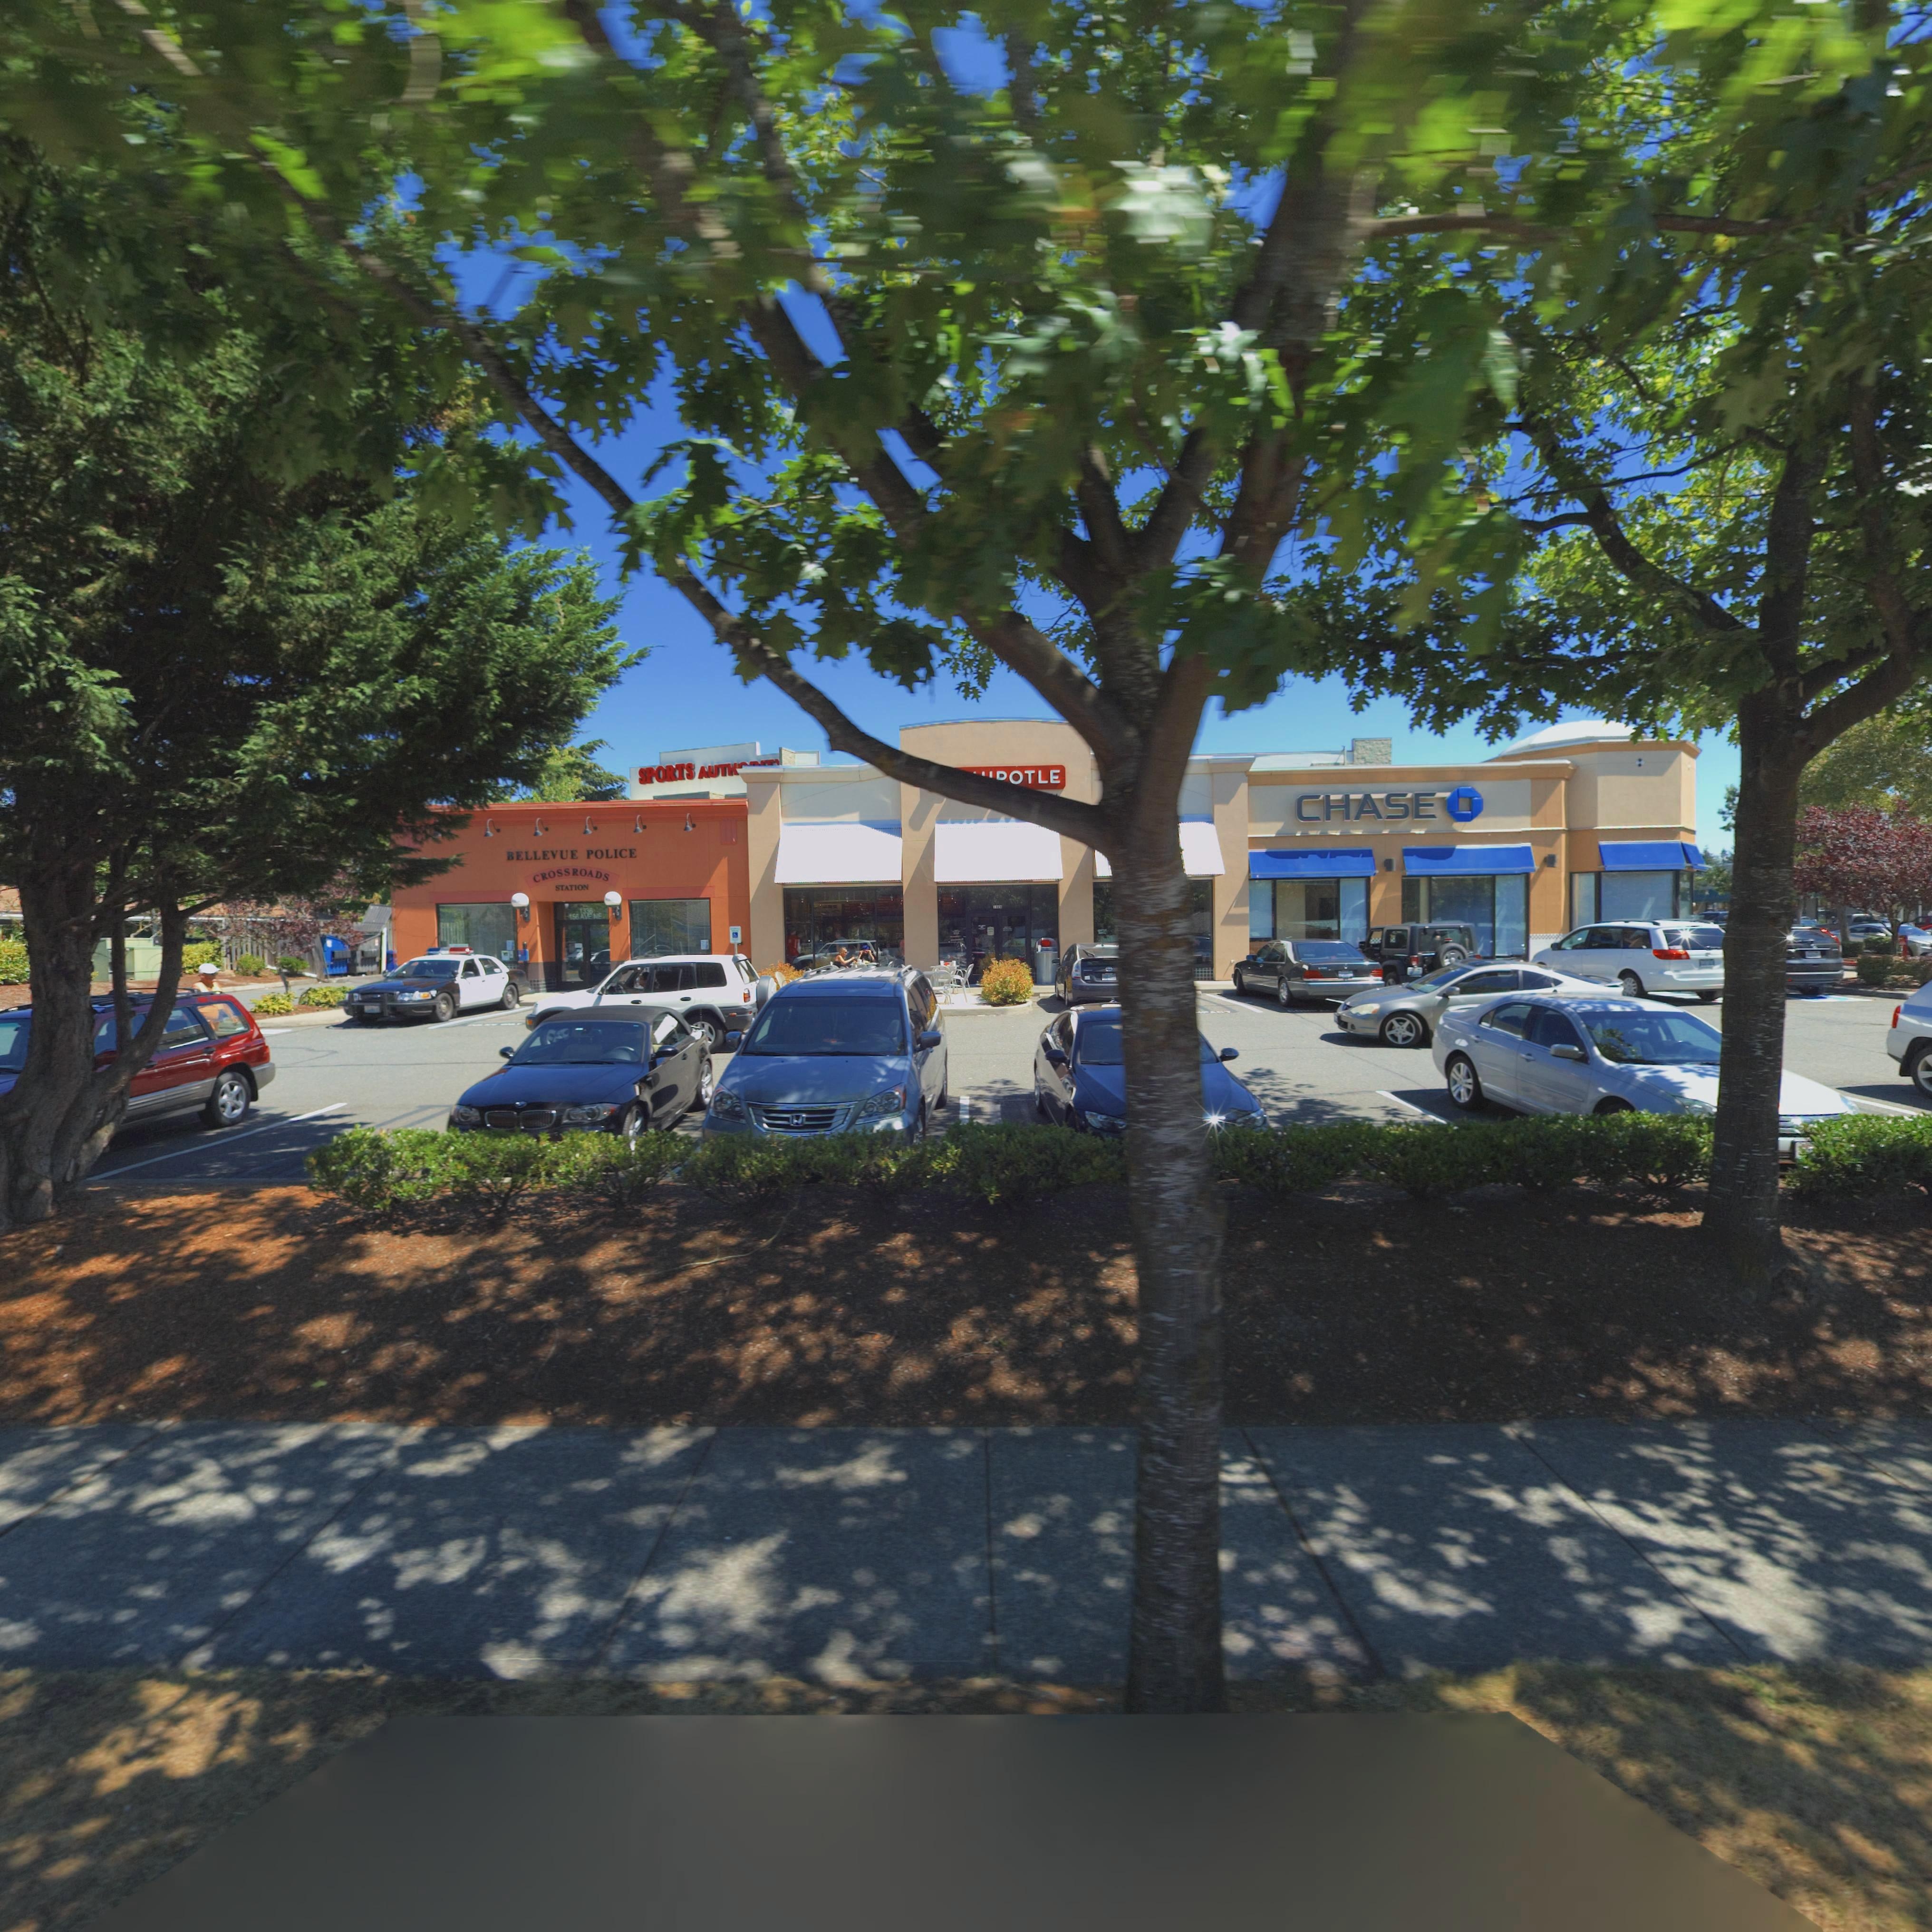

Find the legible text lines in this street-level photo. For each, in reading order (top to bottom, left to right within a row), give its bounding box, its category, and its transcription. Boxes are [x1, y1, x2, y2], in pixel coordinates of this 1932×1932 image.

[638, 762, 695, 784] BusinessName: SPORTS
[697, 762, 738, 779] BusinessName: AUTH
[1009, 768, 1063, 784] BusinessName: OTLE
[1296, 791, 1439, 822] BusinessName: CHASE
[506, 846, 640, 861] BusinessName: BELLEVUE POLICE
[569, 913, 602, 920] StreetName: 156 AVE NE
[579, 907, 593, 913] StreetNumber: 1336